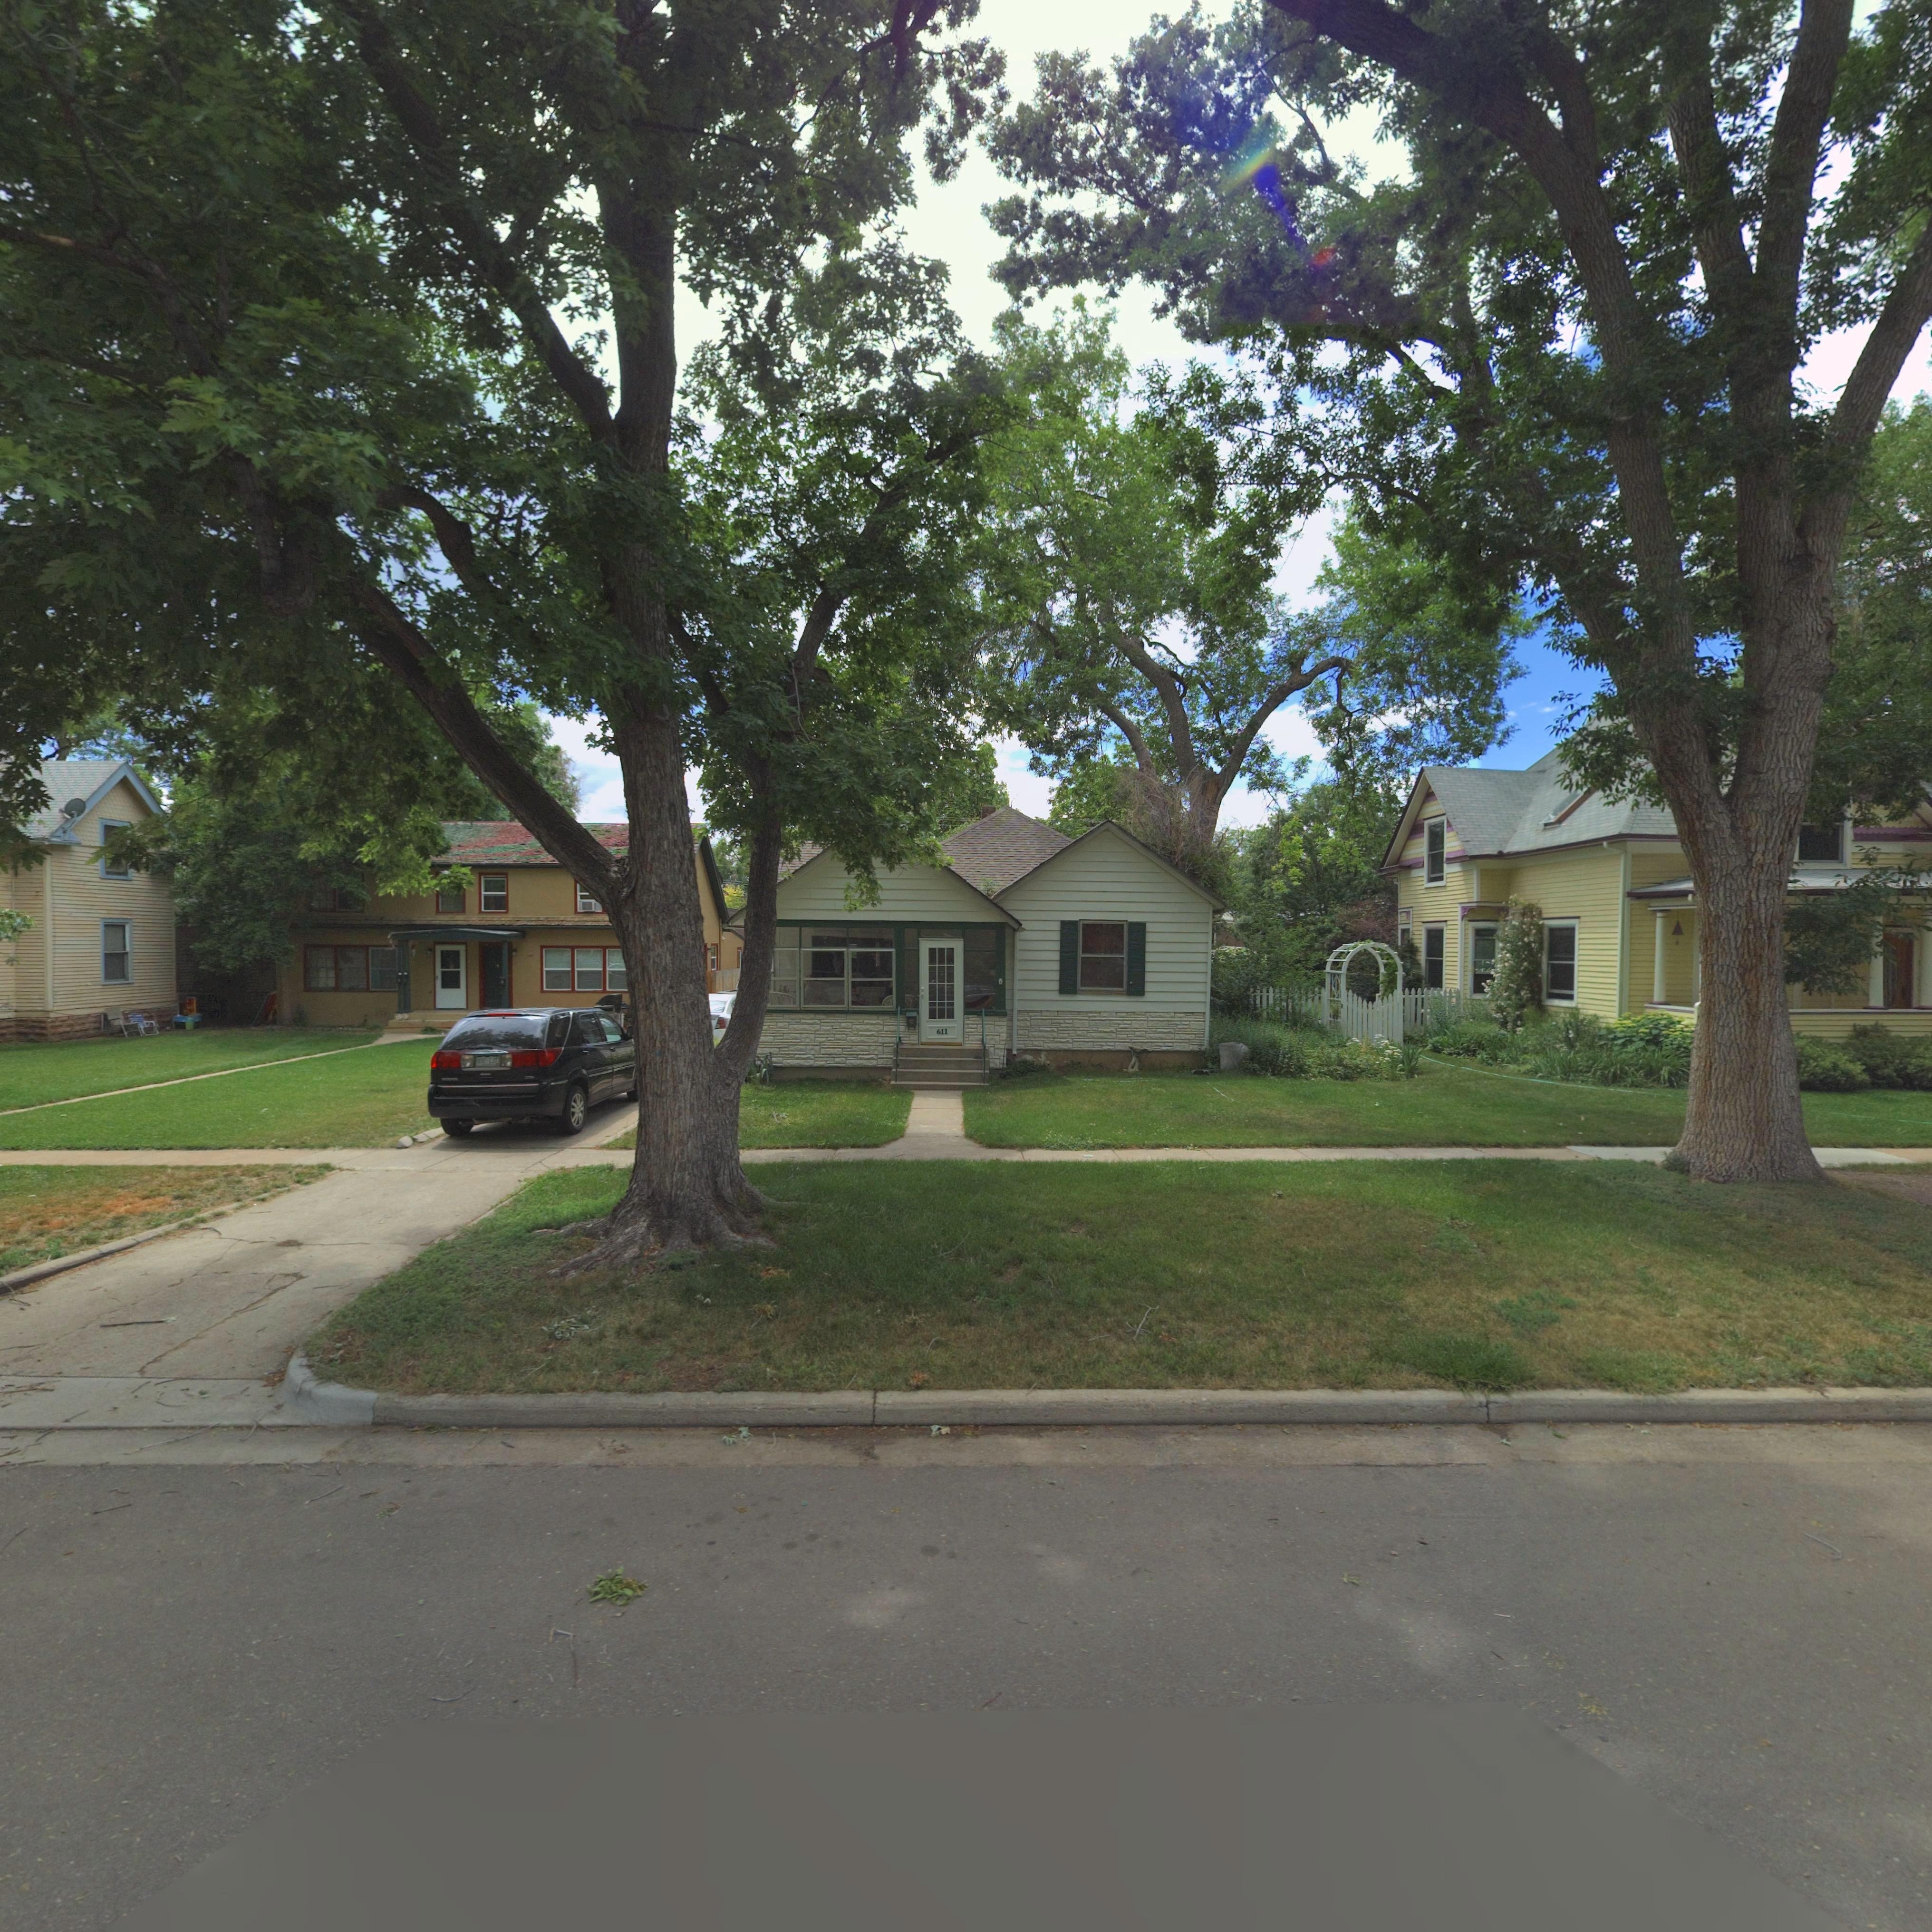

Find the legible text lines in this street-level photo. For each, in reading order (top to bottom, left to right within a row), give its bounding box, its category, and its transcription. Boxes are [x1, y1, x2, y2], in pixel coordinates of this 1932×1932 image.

[936, 1028, 947, 1034] StreetNumber: 611